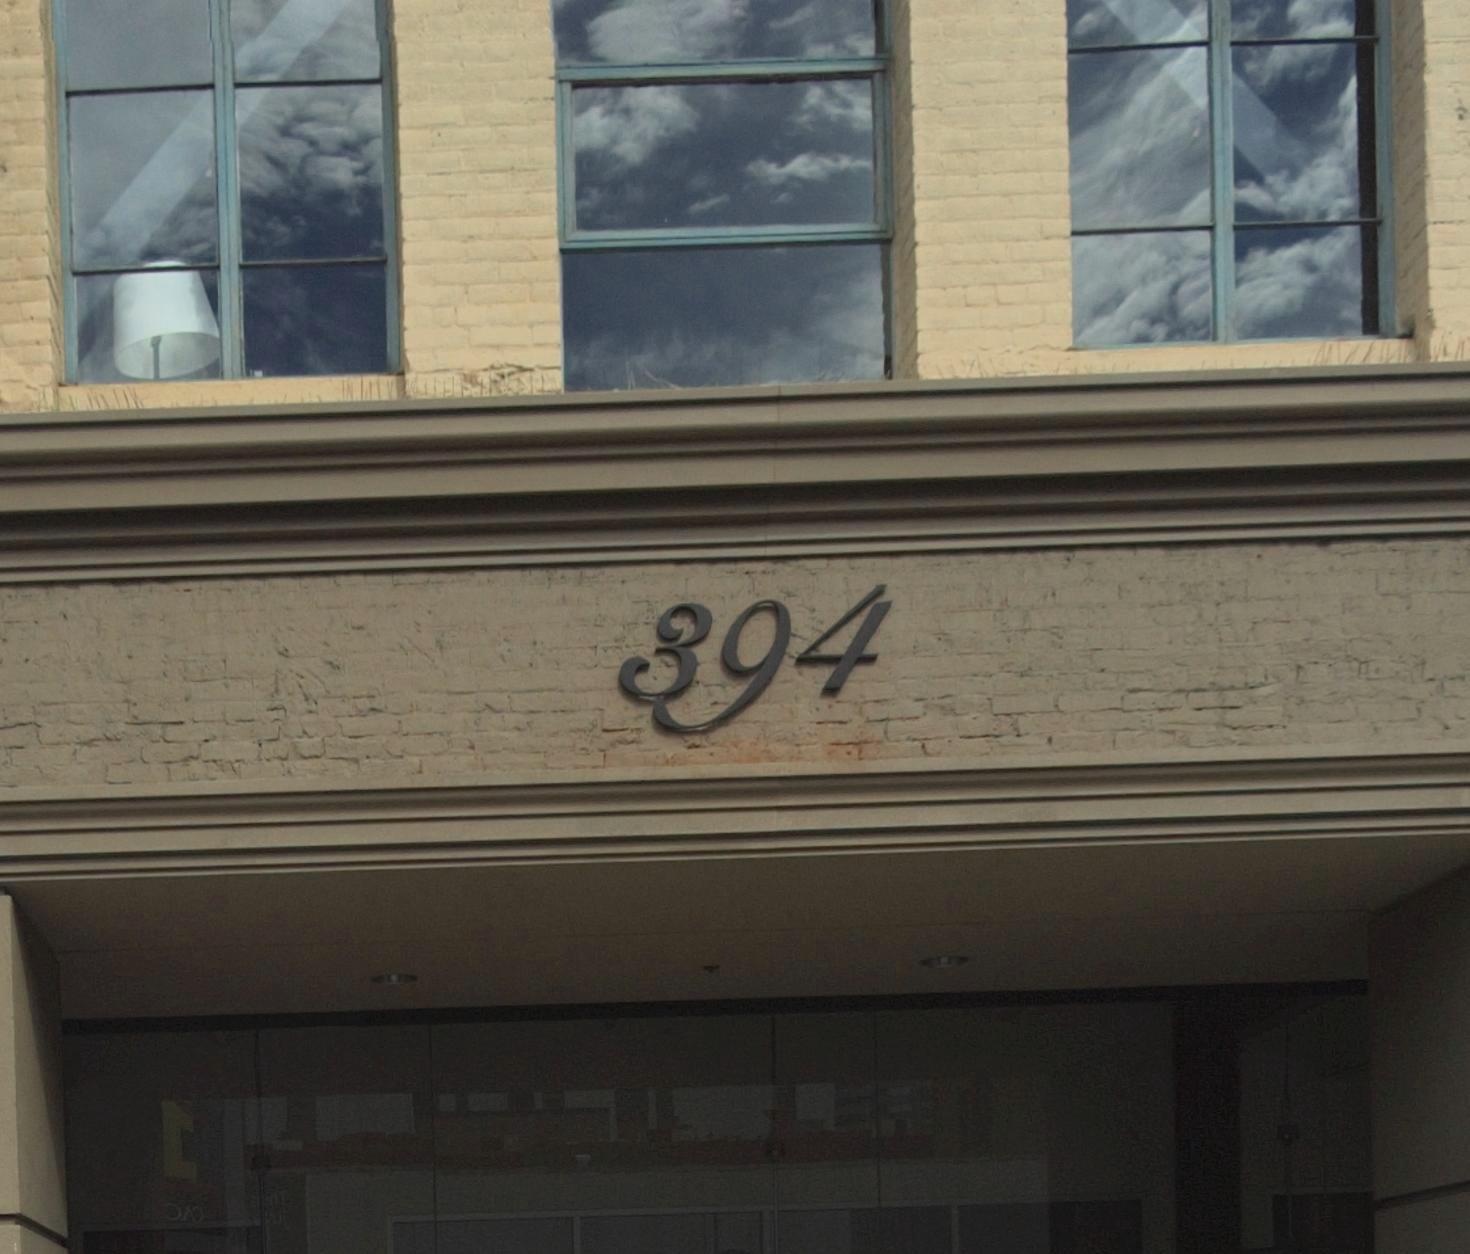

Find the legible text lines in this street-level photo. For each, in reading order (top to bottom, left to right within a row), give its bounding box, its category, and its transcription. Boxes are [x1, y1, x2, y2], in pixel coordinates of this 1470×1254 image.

[605, 577, 906, 740] StreetNumber: 394